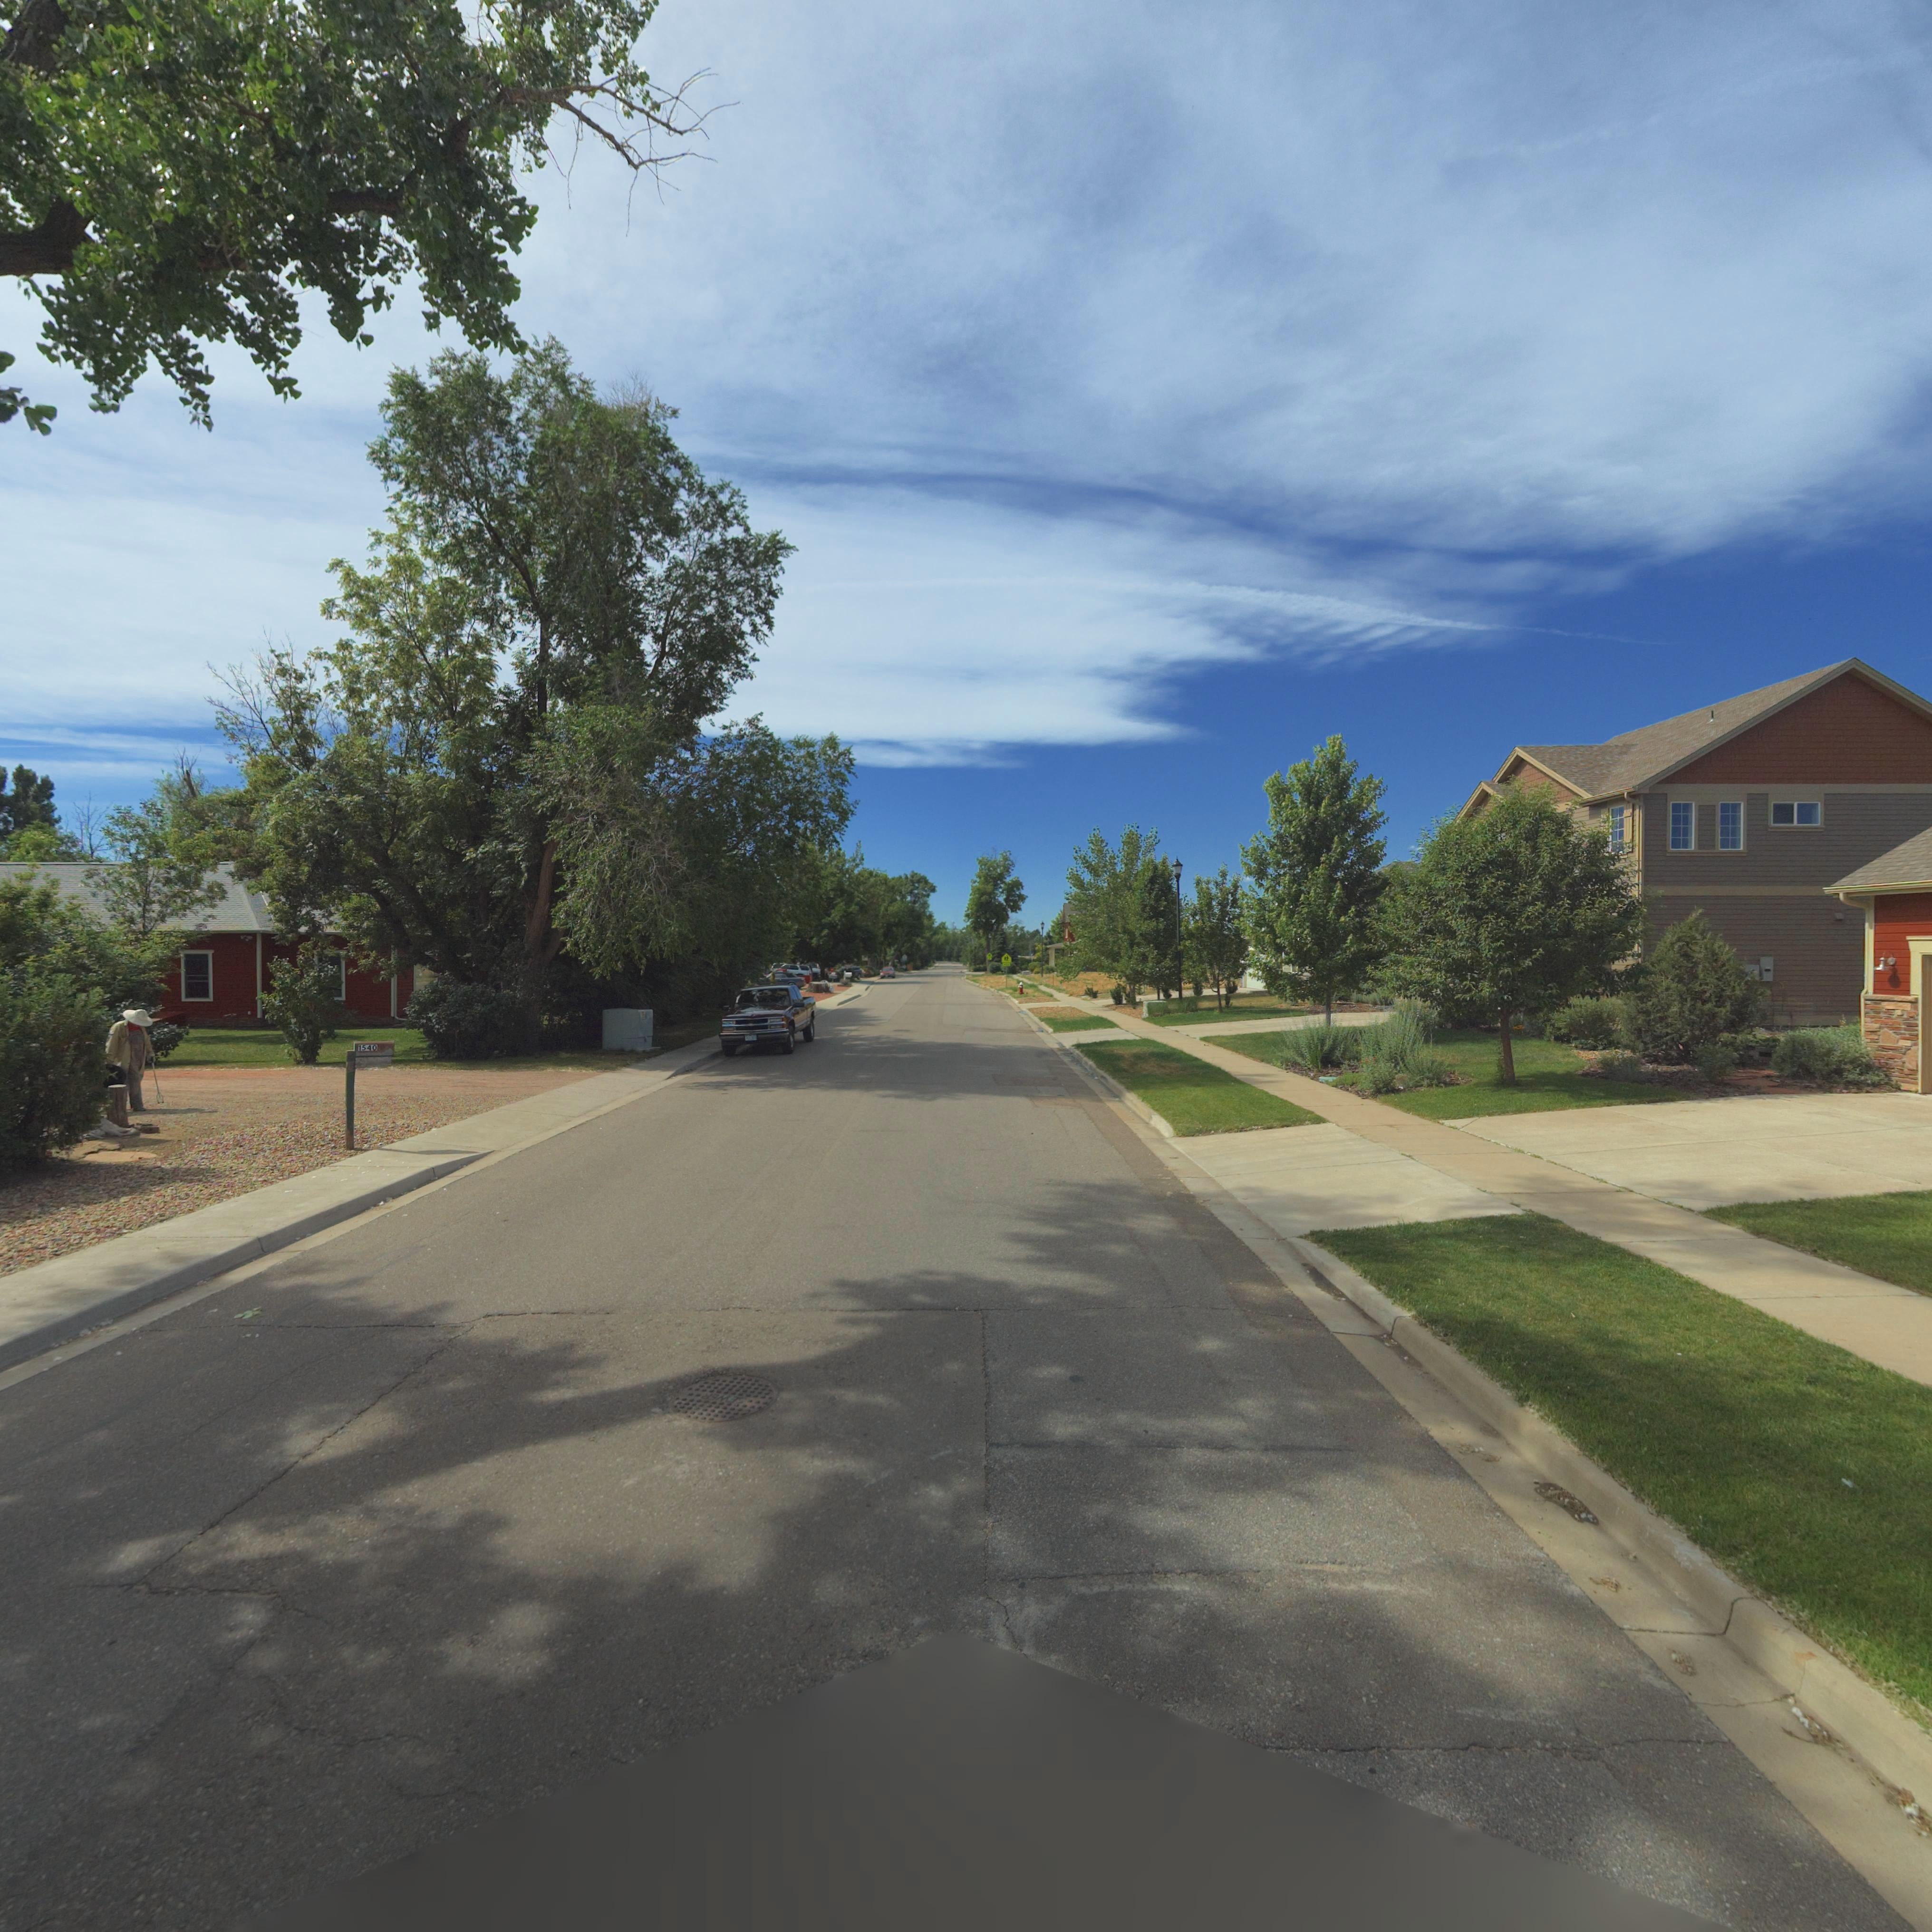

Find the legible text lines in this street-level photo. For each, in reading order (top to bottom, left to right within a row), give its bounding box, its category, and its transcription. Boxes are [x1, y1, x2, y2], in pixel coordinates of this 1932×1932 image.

[359, 1044, 377, 1051] StreetNumber: 1540